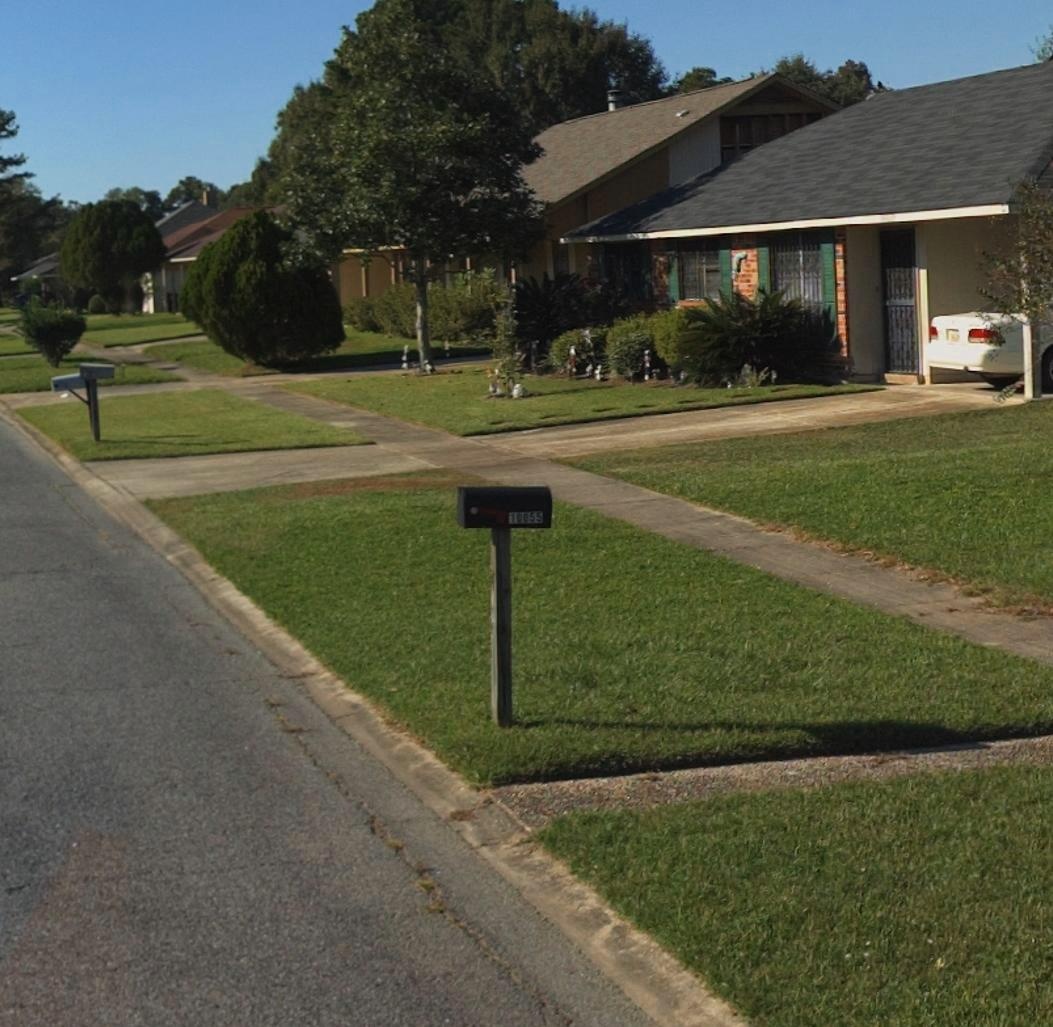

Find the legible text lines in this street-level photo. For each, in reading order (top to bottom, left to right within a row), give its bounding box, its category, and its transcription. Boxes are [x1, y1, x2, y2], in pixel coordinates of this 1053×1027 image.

[509, 512, 543, 523] StreetNumber: 10055